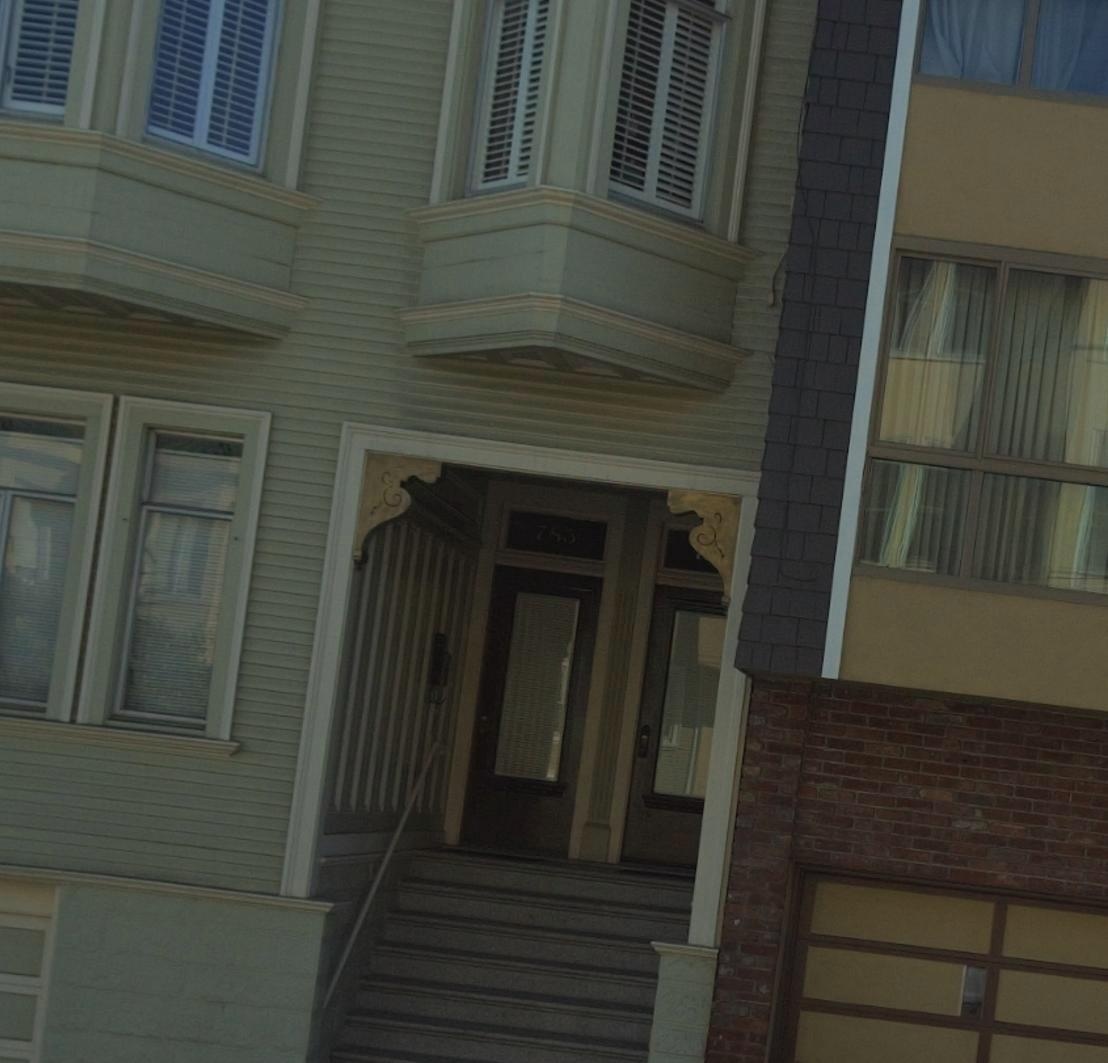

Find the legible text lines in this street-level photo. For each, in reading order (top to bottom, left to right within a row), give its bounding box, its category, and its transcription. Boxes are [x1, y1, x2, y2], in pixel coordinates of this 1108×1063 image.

[533, 522, 578, 547] StreetNumber: 78*